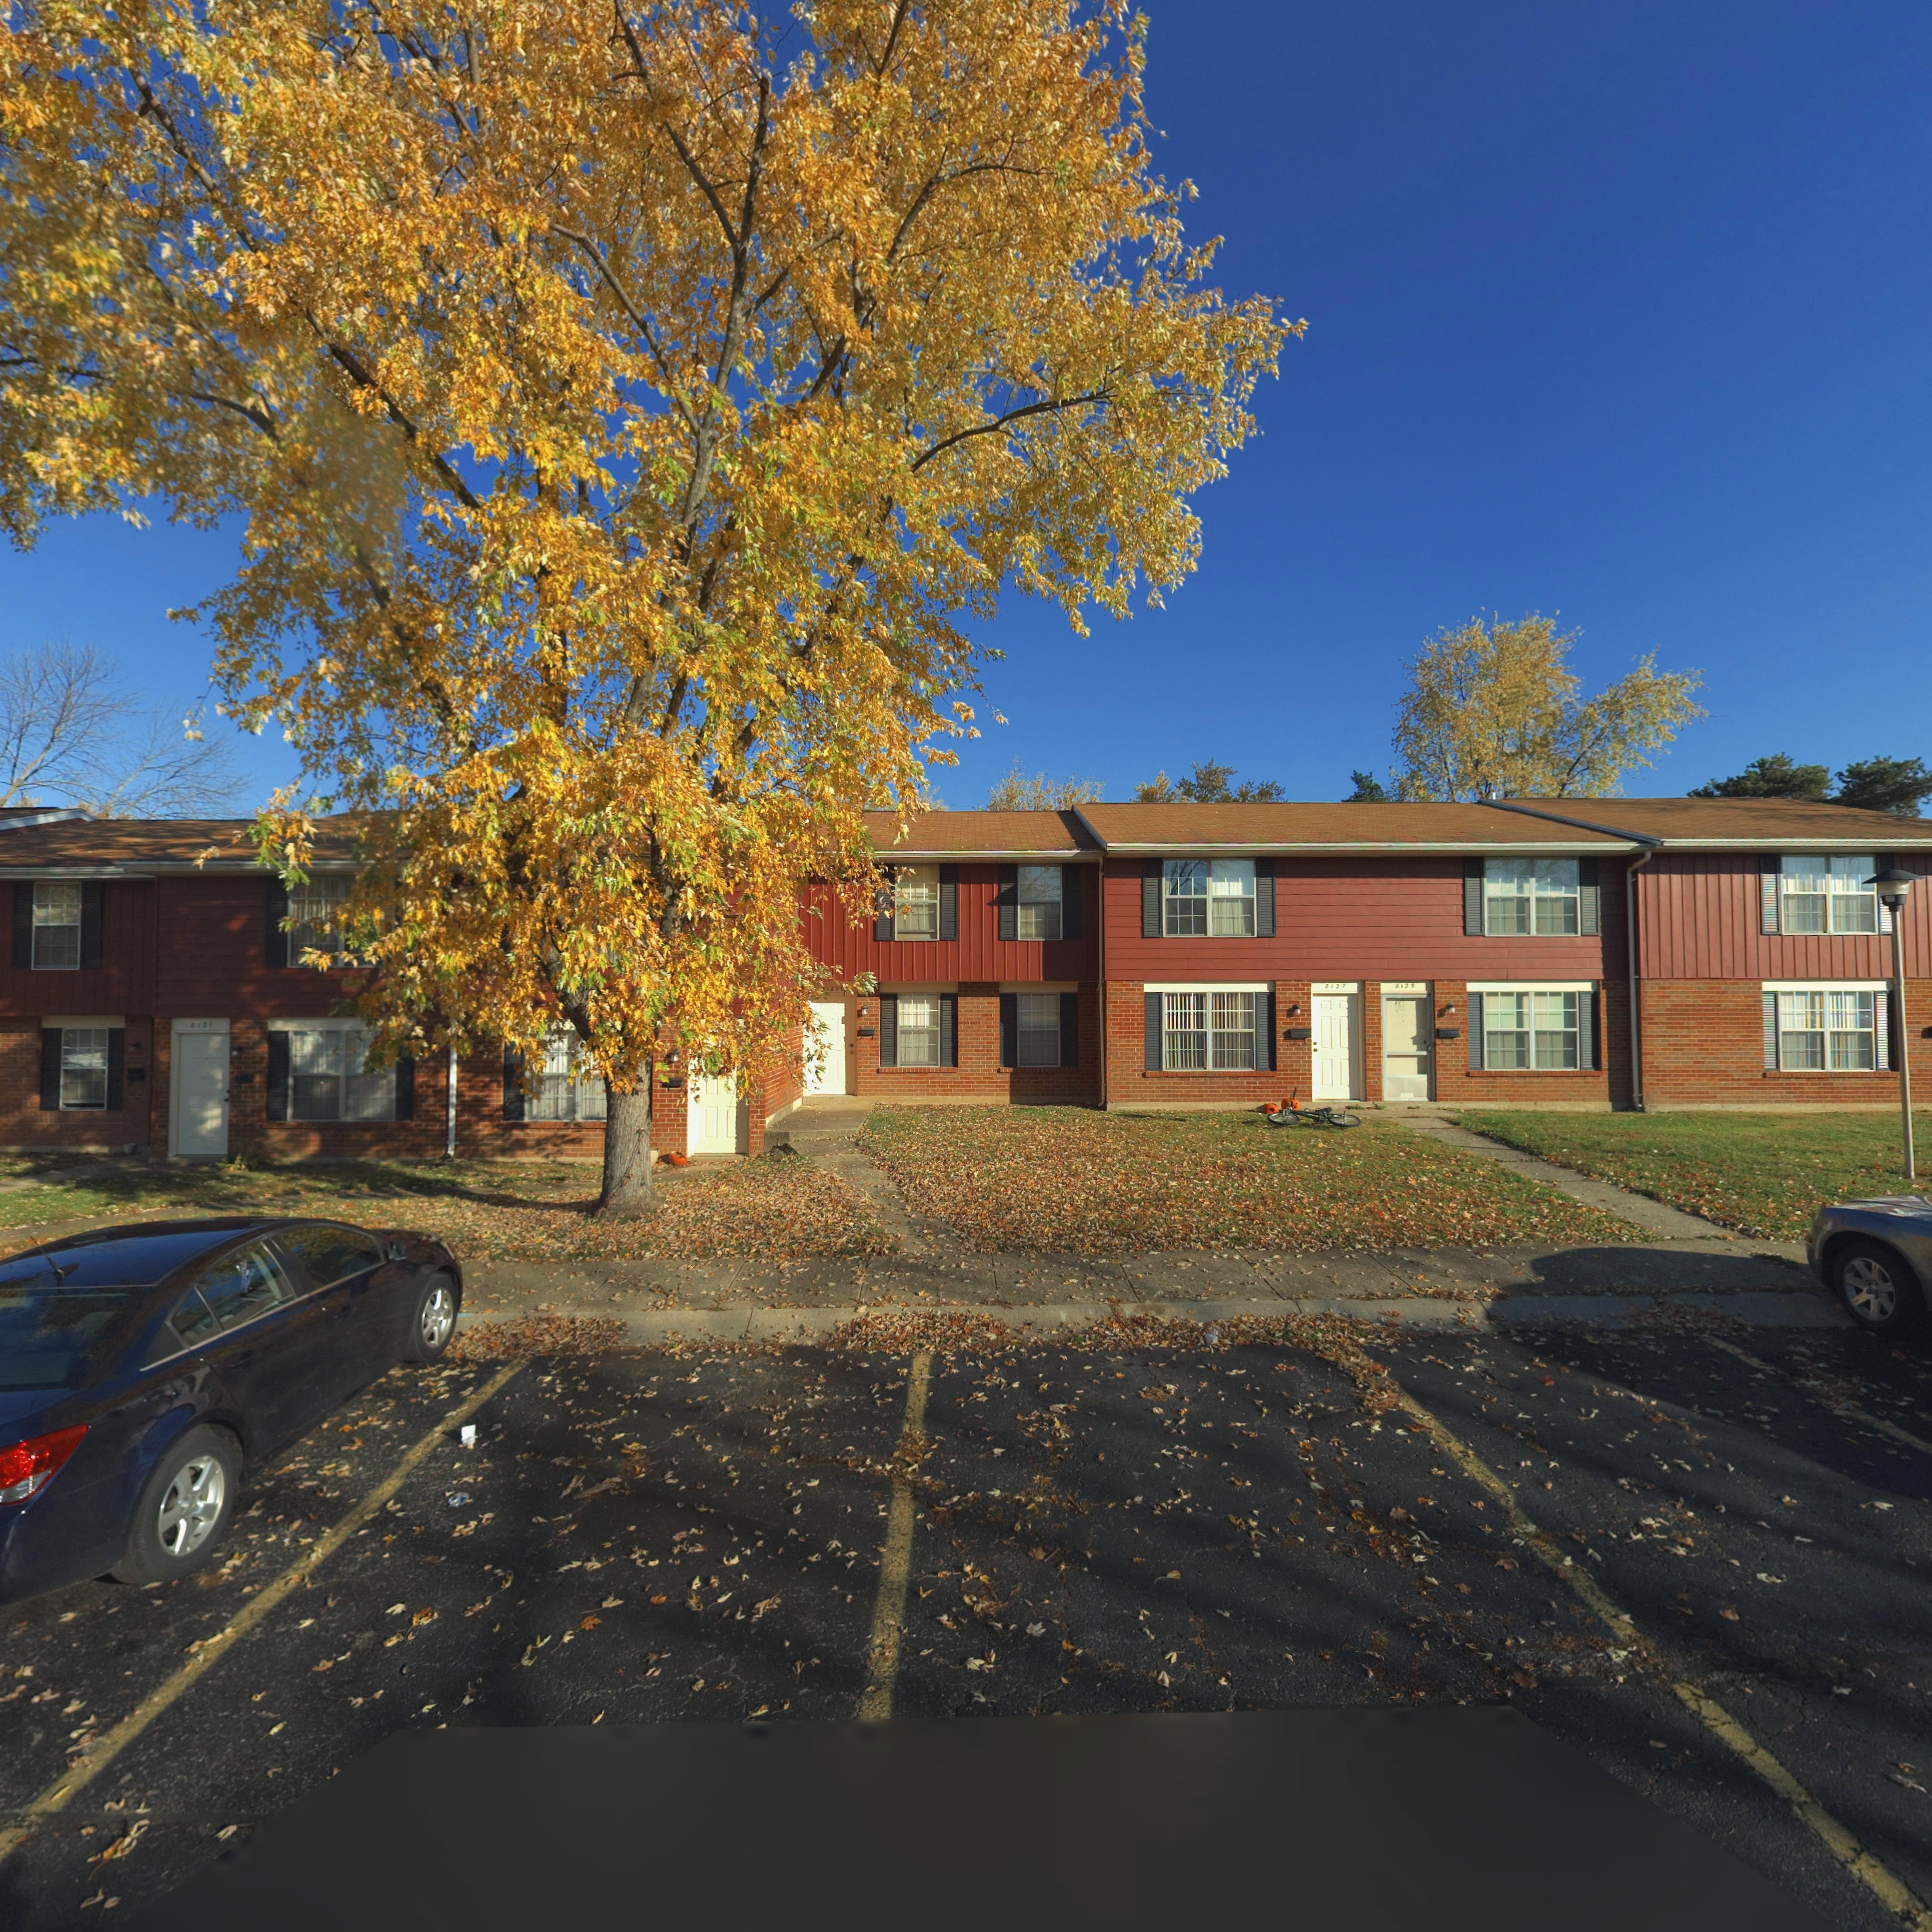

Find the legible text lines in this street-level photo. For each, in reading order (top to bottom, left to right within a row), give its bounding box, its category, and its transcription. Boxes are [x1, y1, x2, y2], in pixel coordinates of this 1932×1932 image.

[826, 985, 840, 992] StreetNumber: 12*
[1324, 983, 1347, 990] StreetNumber: 8127
[1394, 982, 1416, 990] StreetNumber: 8129
[189, 1020, 213, 1030] StreetNumber: 8121